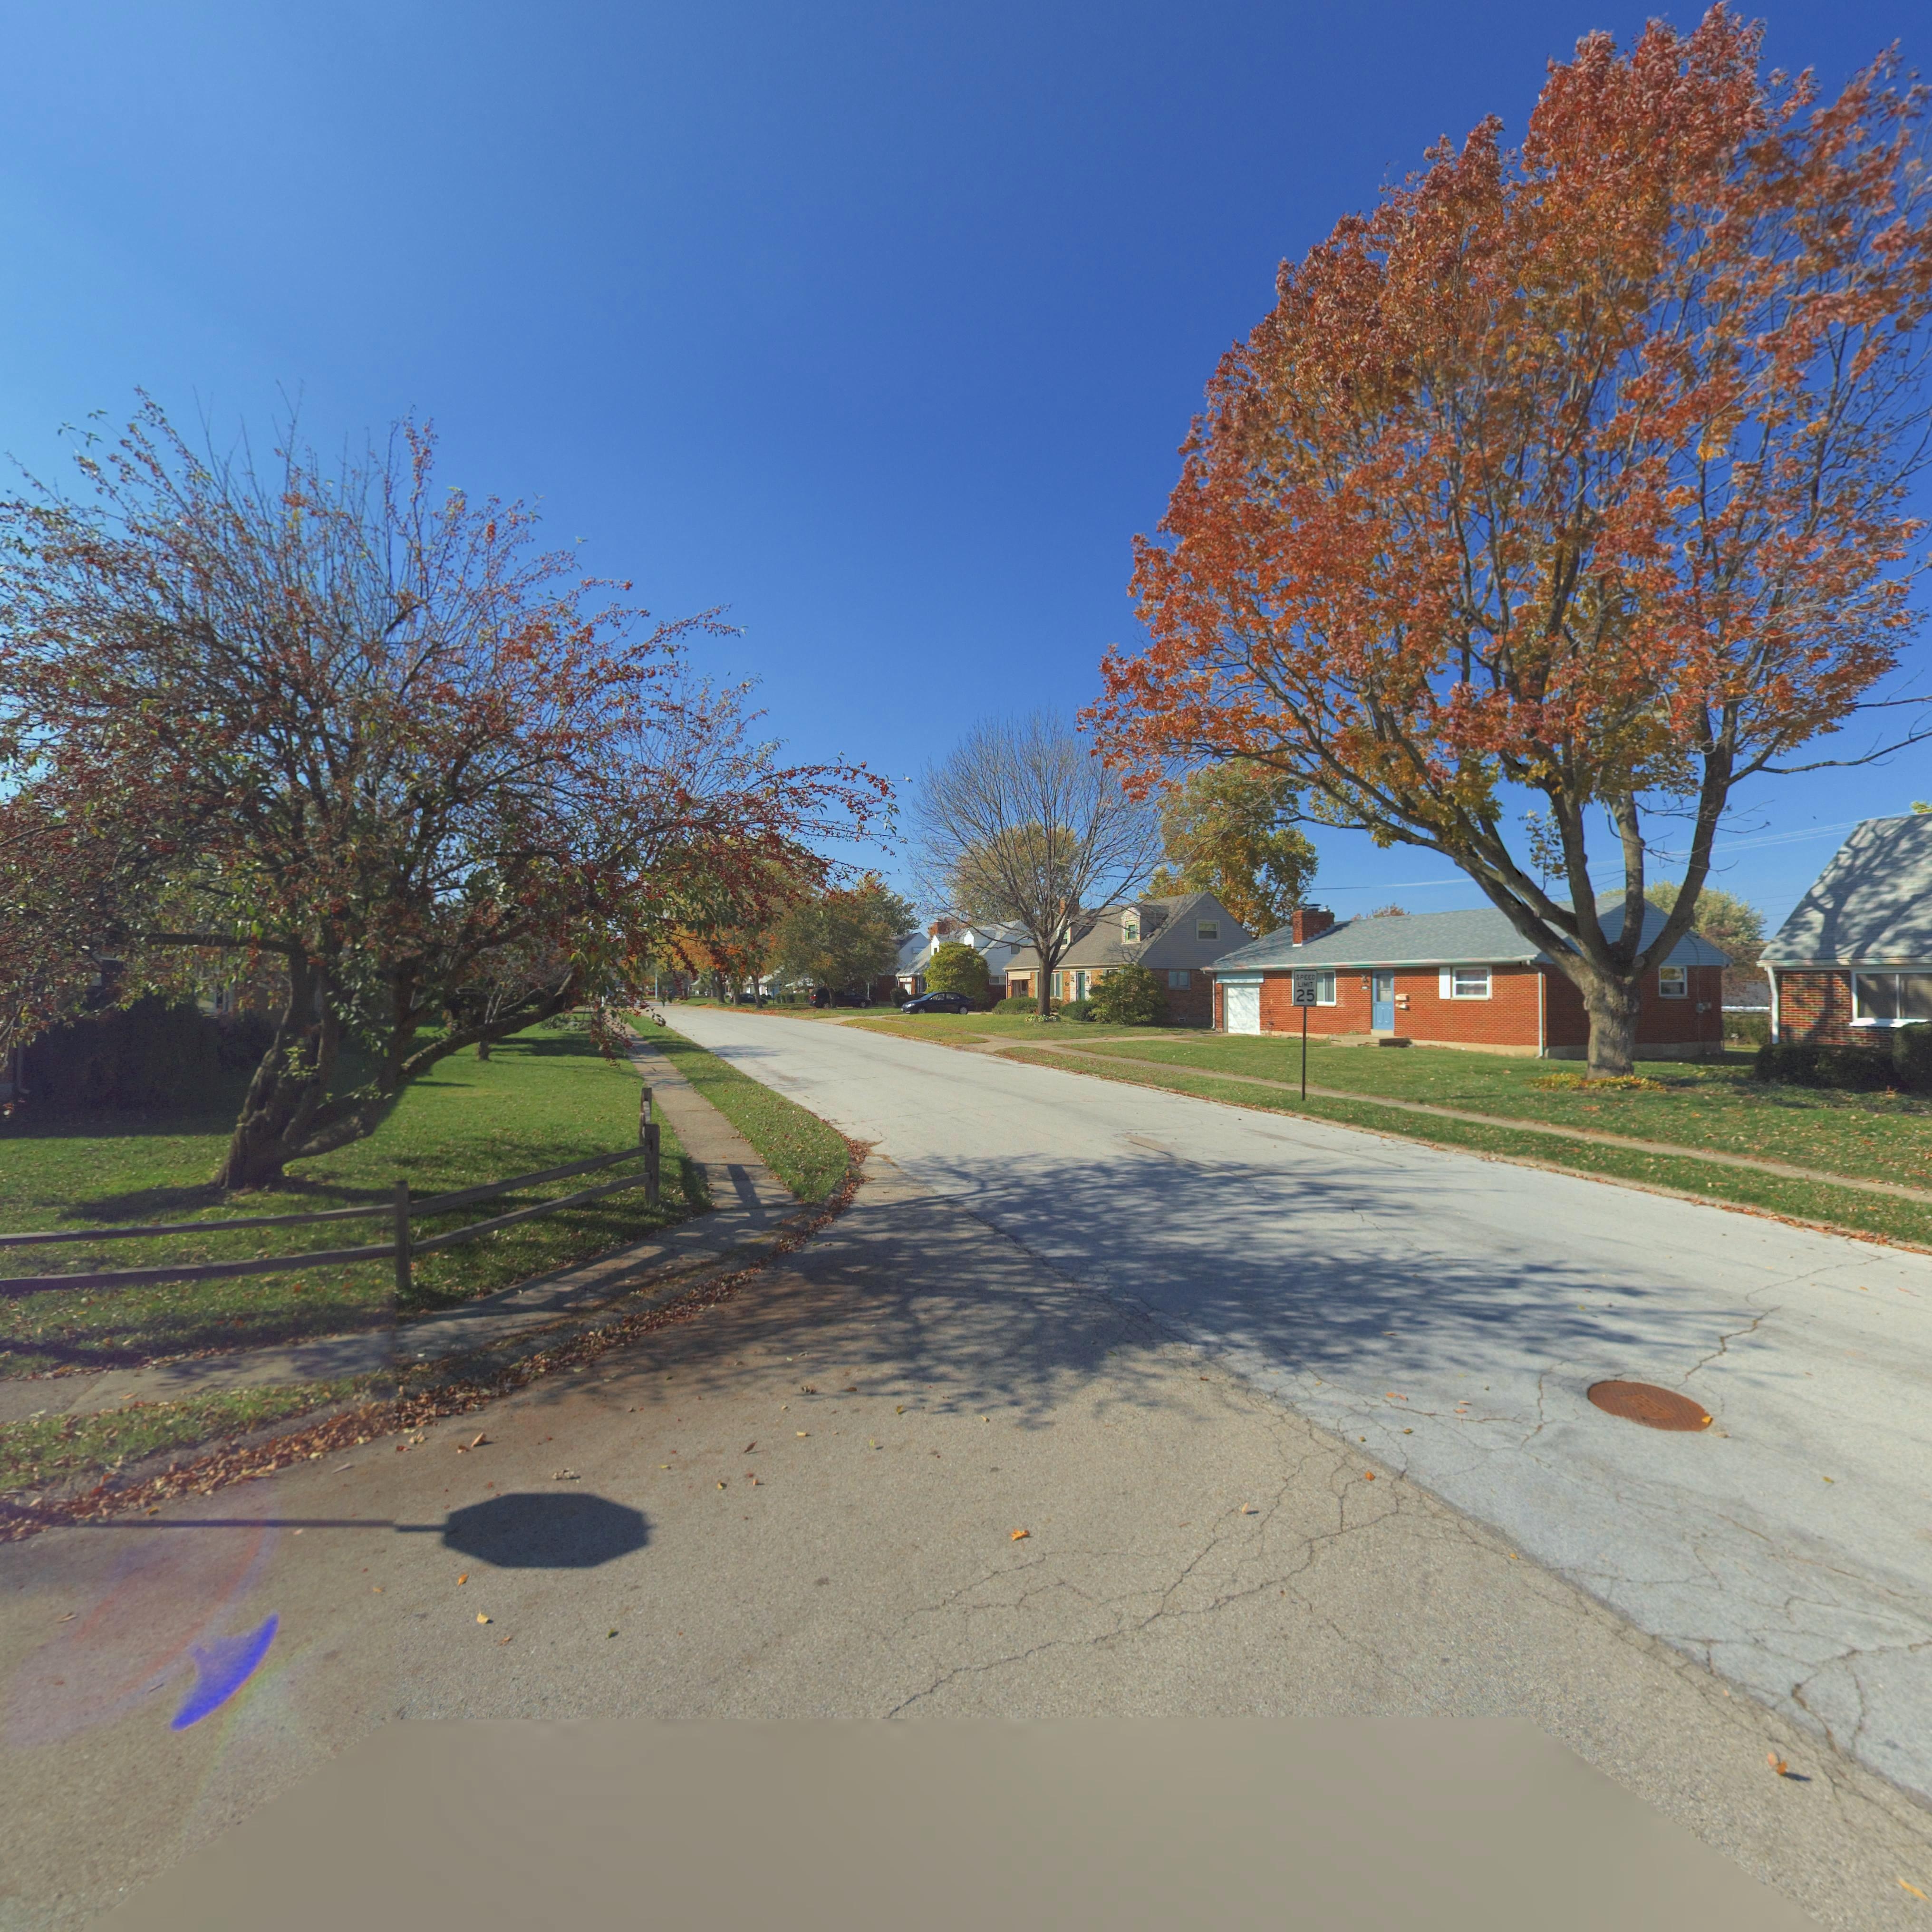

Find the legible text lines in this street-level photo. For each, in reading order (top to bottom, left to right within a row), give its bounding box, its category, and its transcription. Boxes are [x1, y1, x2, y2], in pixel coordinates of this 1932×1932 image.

[1295, 974, 1316, 981] None: SPEED
[1295, 981, 1315, 988] None: L*MIT
[1294, 988, 1316, 1004] None: 25